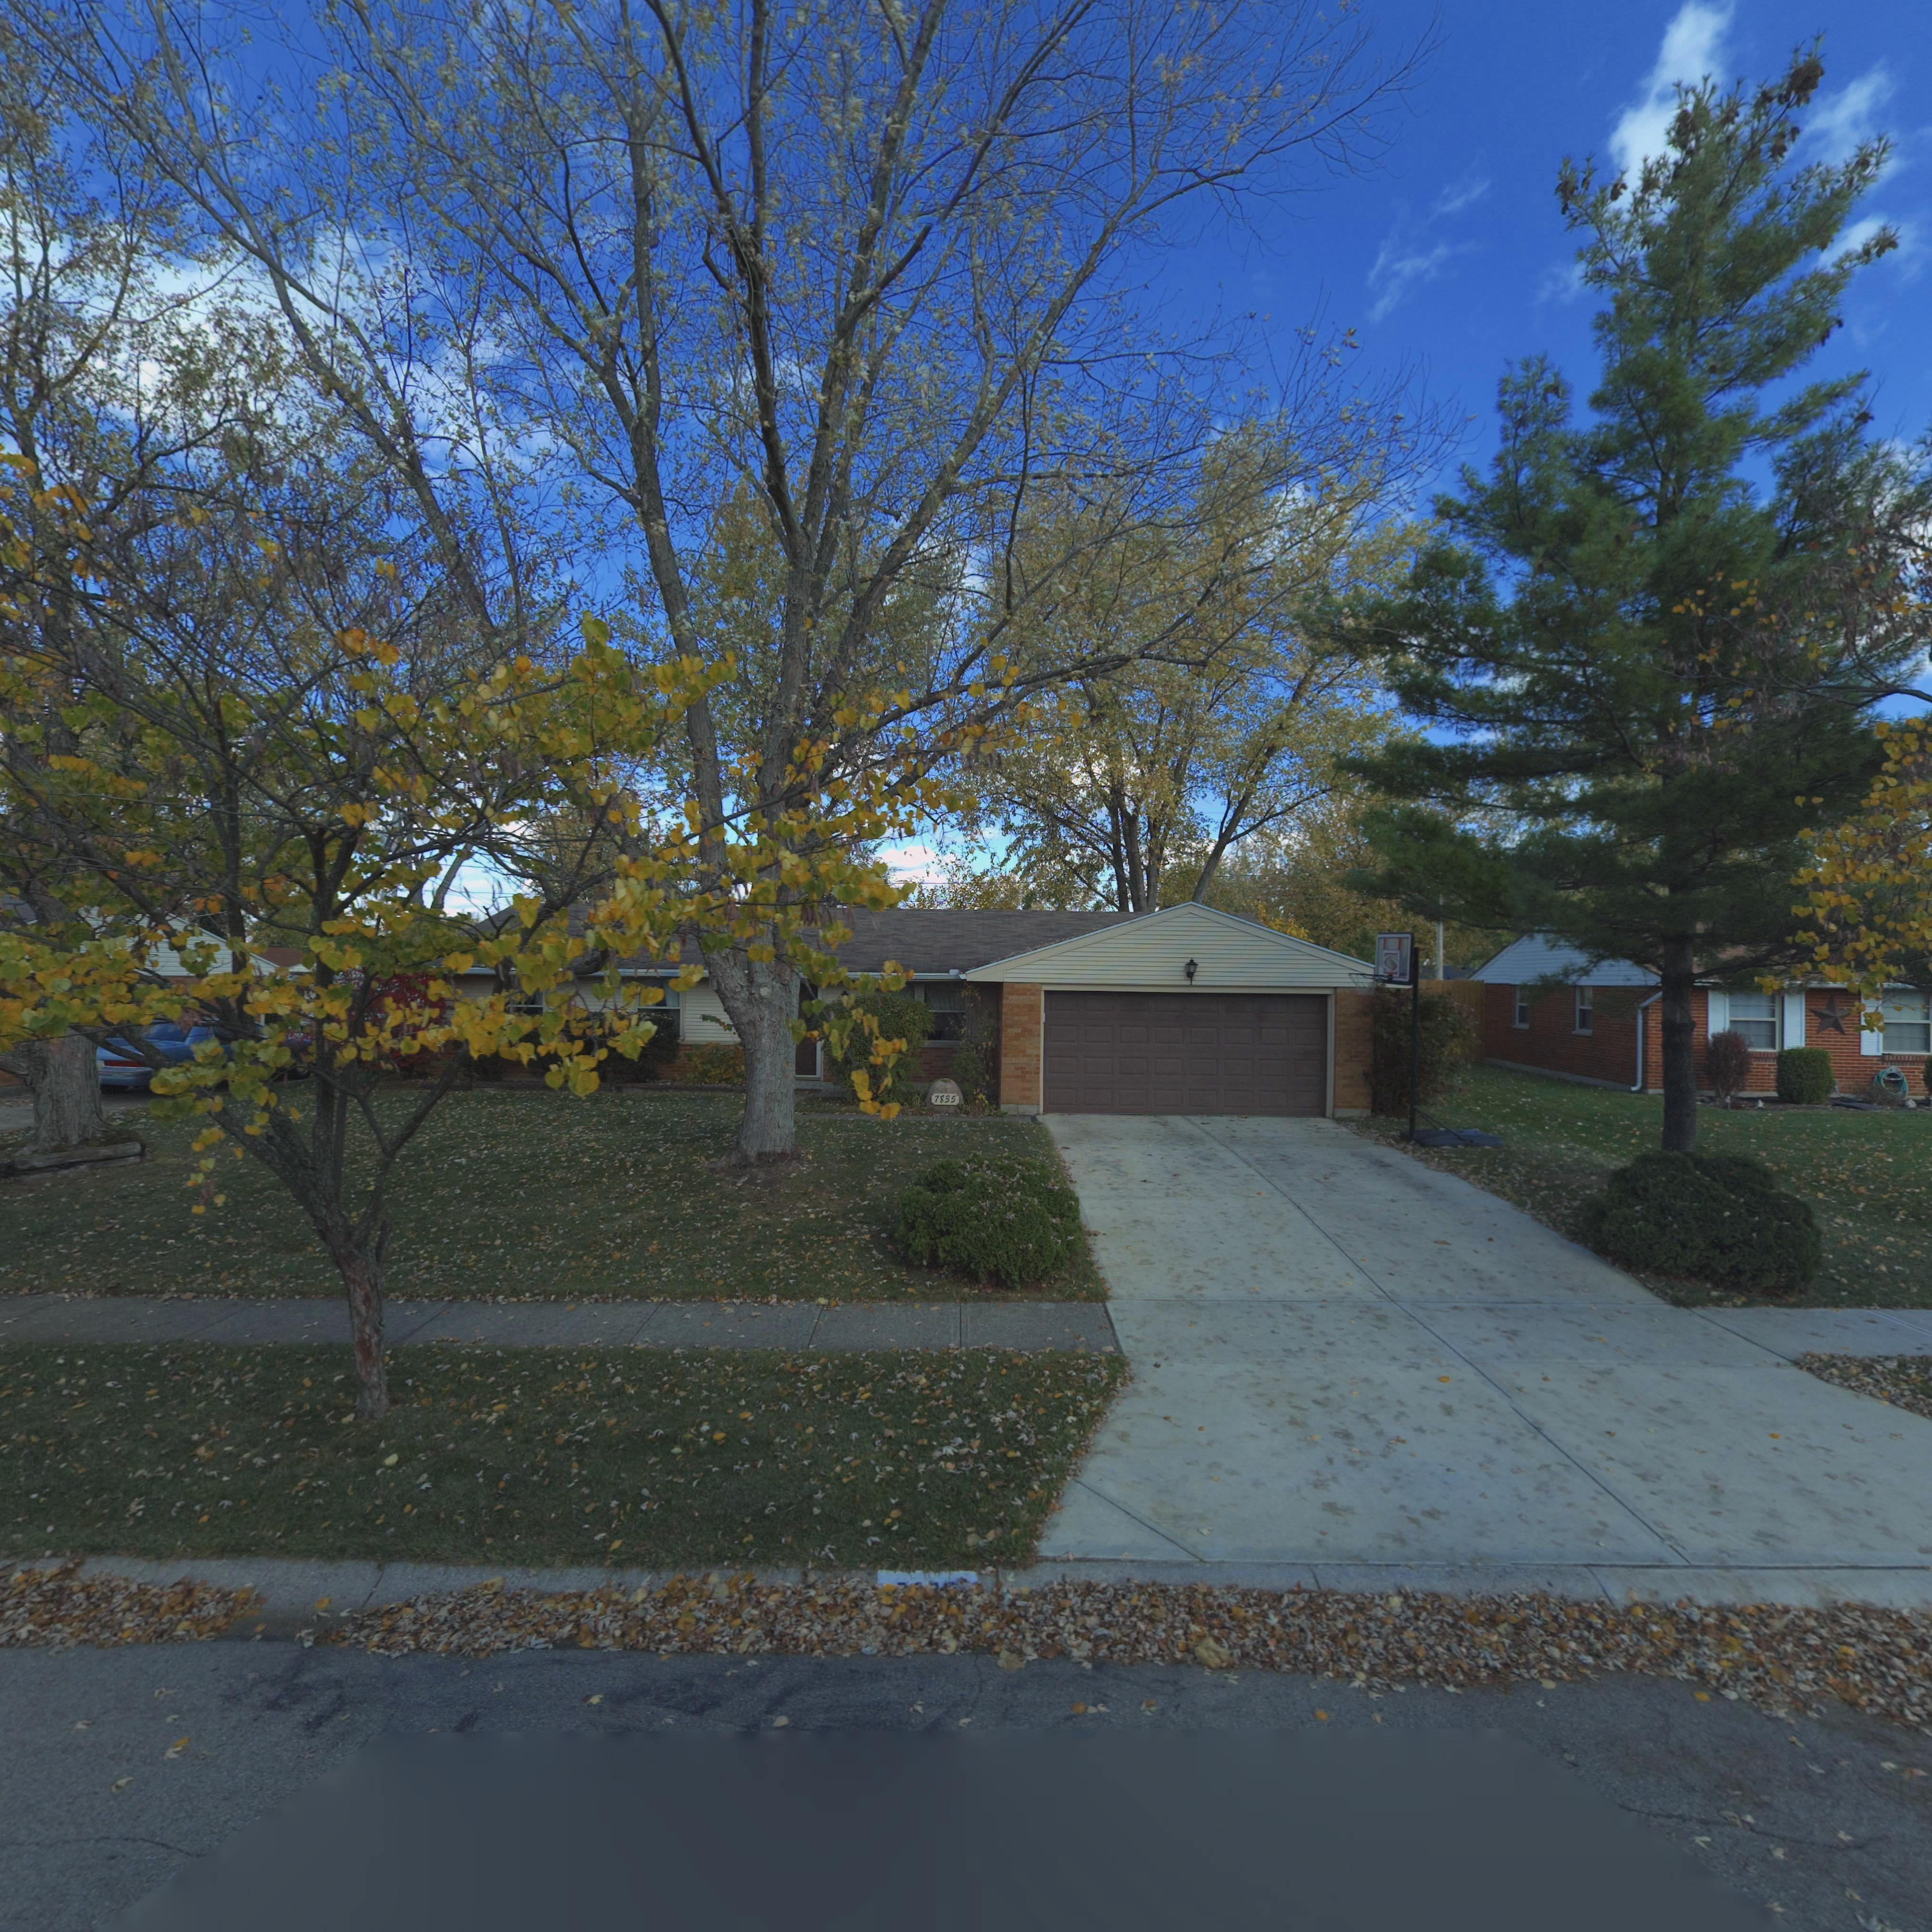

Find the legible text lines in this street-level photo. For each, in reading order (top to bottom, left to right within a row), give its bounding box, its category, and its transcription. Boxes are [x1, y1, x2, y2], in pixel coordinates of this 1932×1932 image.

[934, 1095, 956, 1103] StreetNumber: 7835